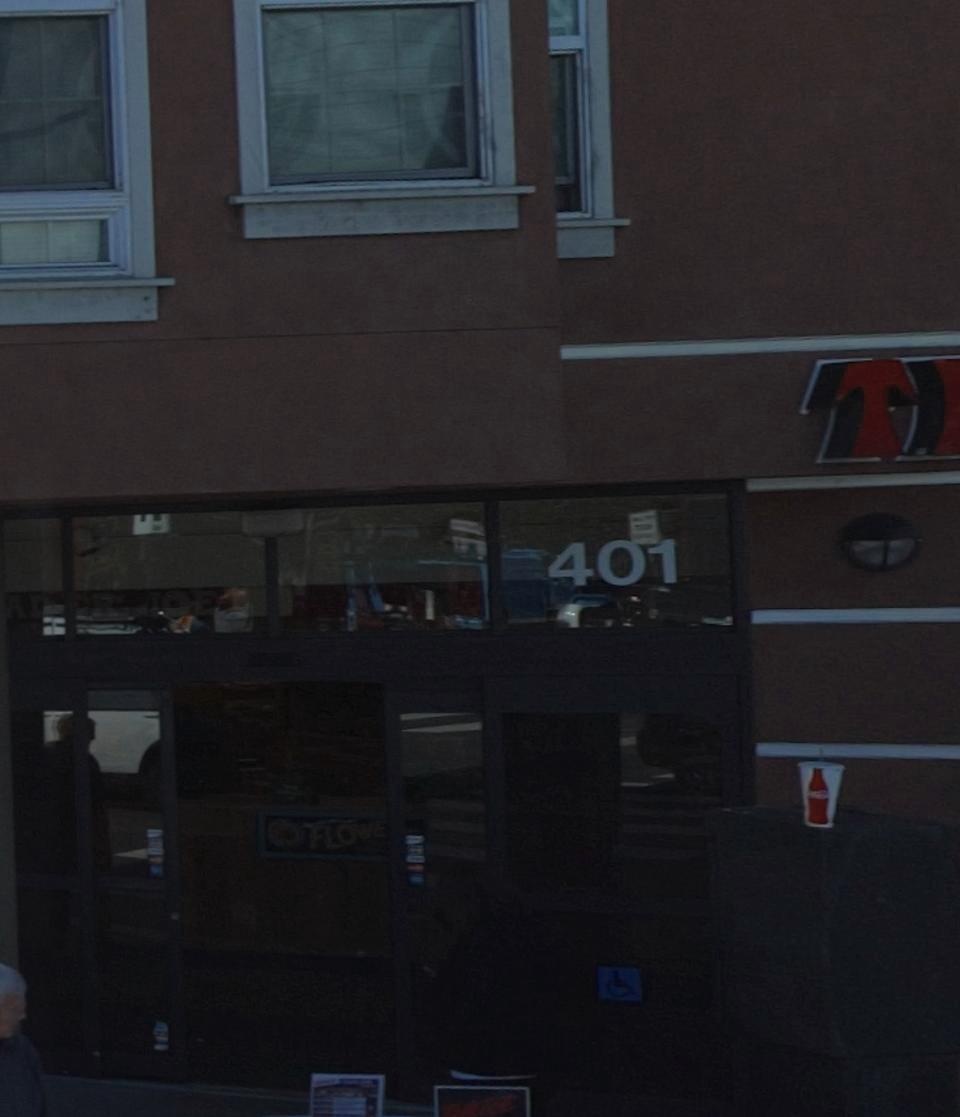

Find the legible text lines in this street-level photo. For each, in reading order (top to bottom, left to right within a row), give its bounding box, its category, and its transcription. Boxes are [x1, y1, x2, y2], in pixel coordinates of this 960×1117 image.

[821, 354, 922, 463] None: T
[543, 537, 679, 587] StreetNumber: 401